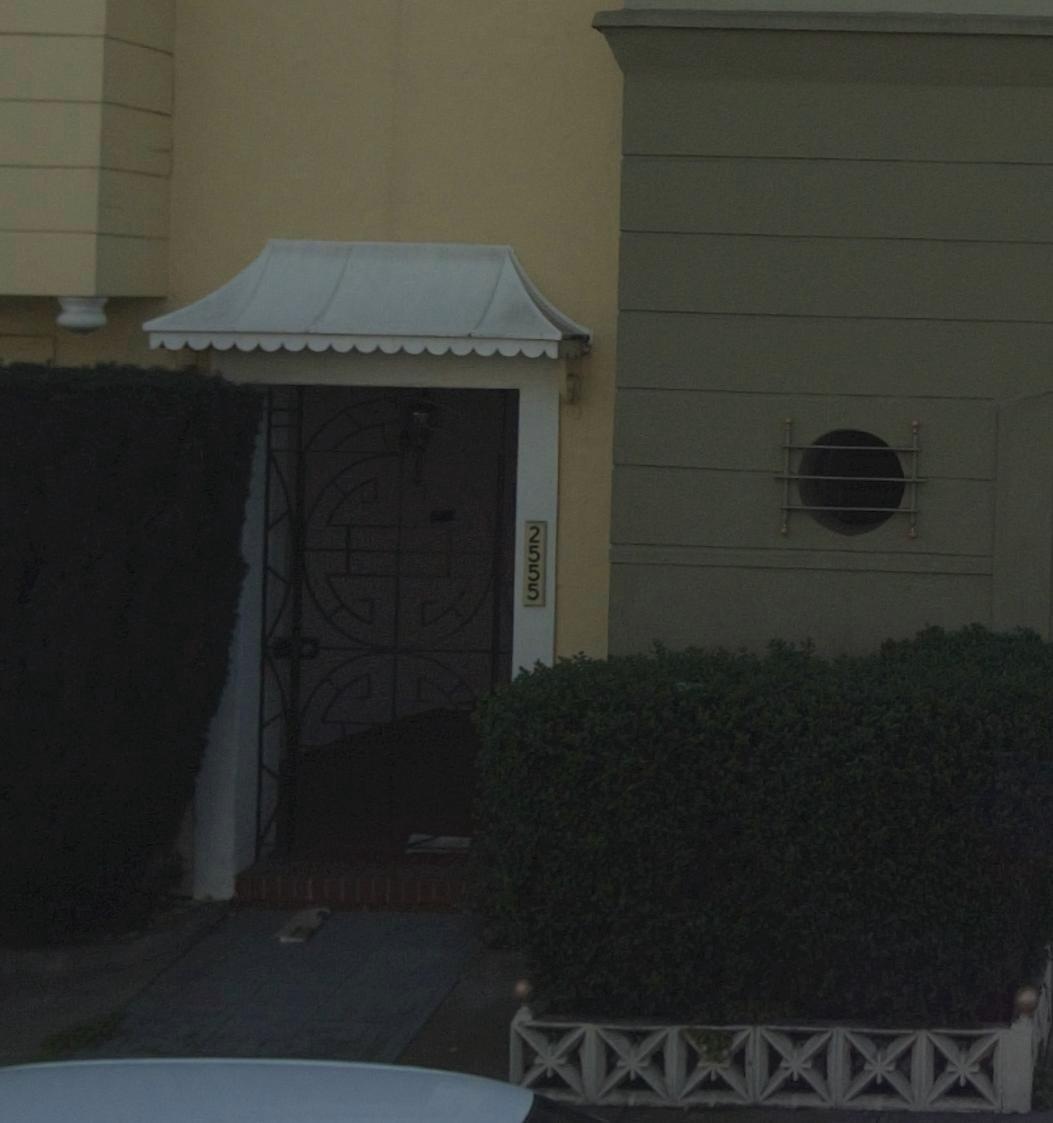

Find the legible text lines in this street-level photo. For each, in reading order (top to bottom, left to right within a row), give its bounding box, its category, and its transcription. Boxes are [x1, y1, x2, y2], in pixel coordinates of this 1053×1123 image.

[524, 523, 543, 604] StreetNumber: 2555